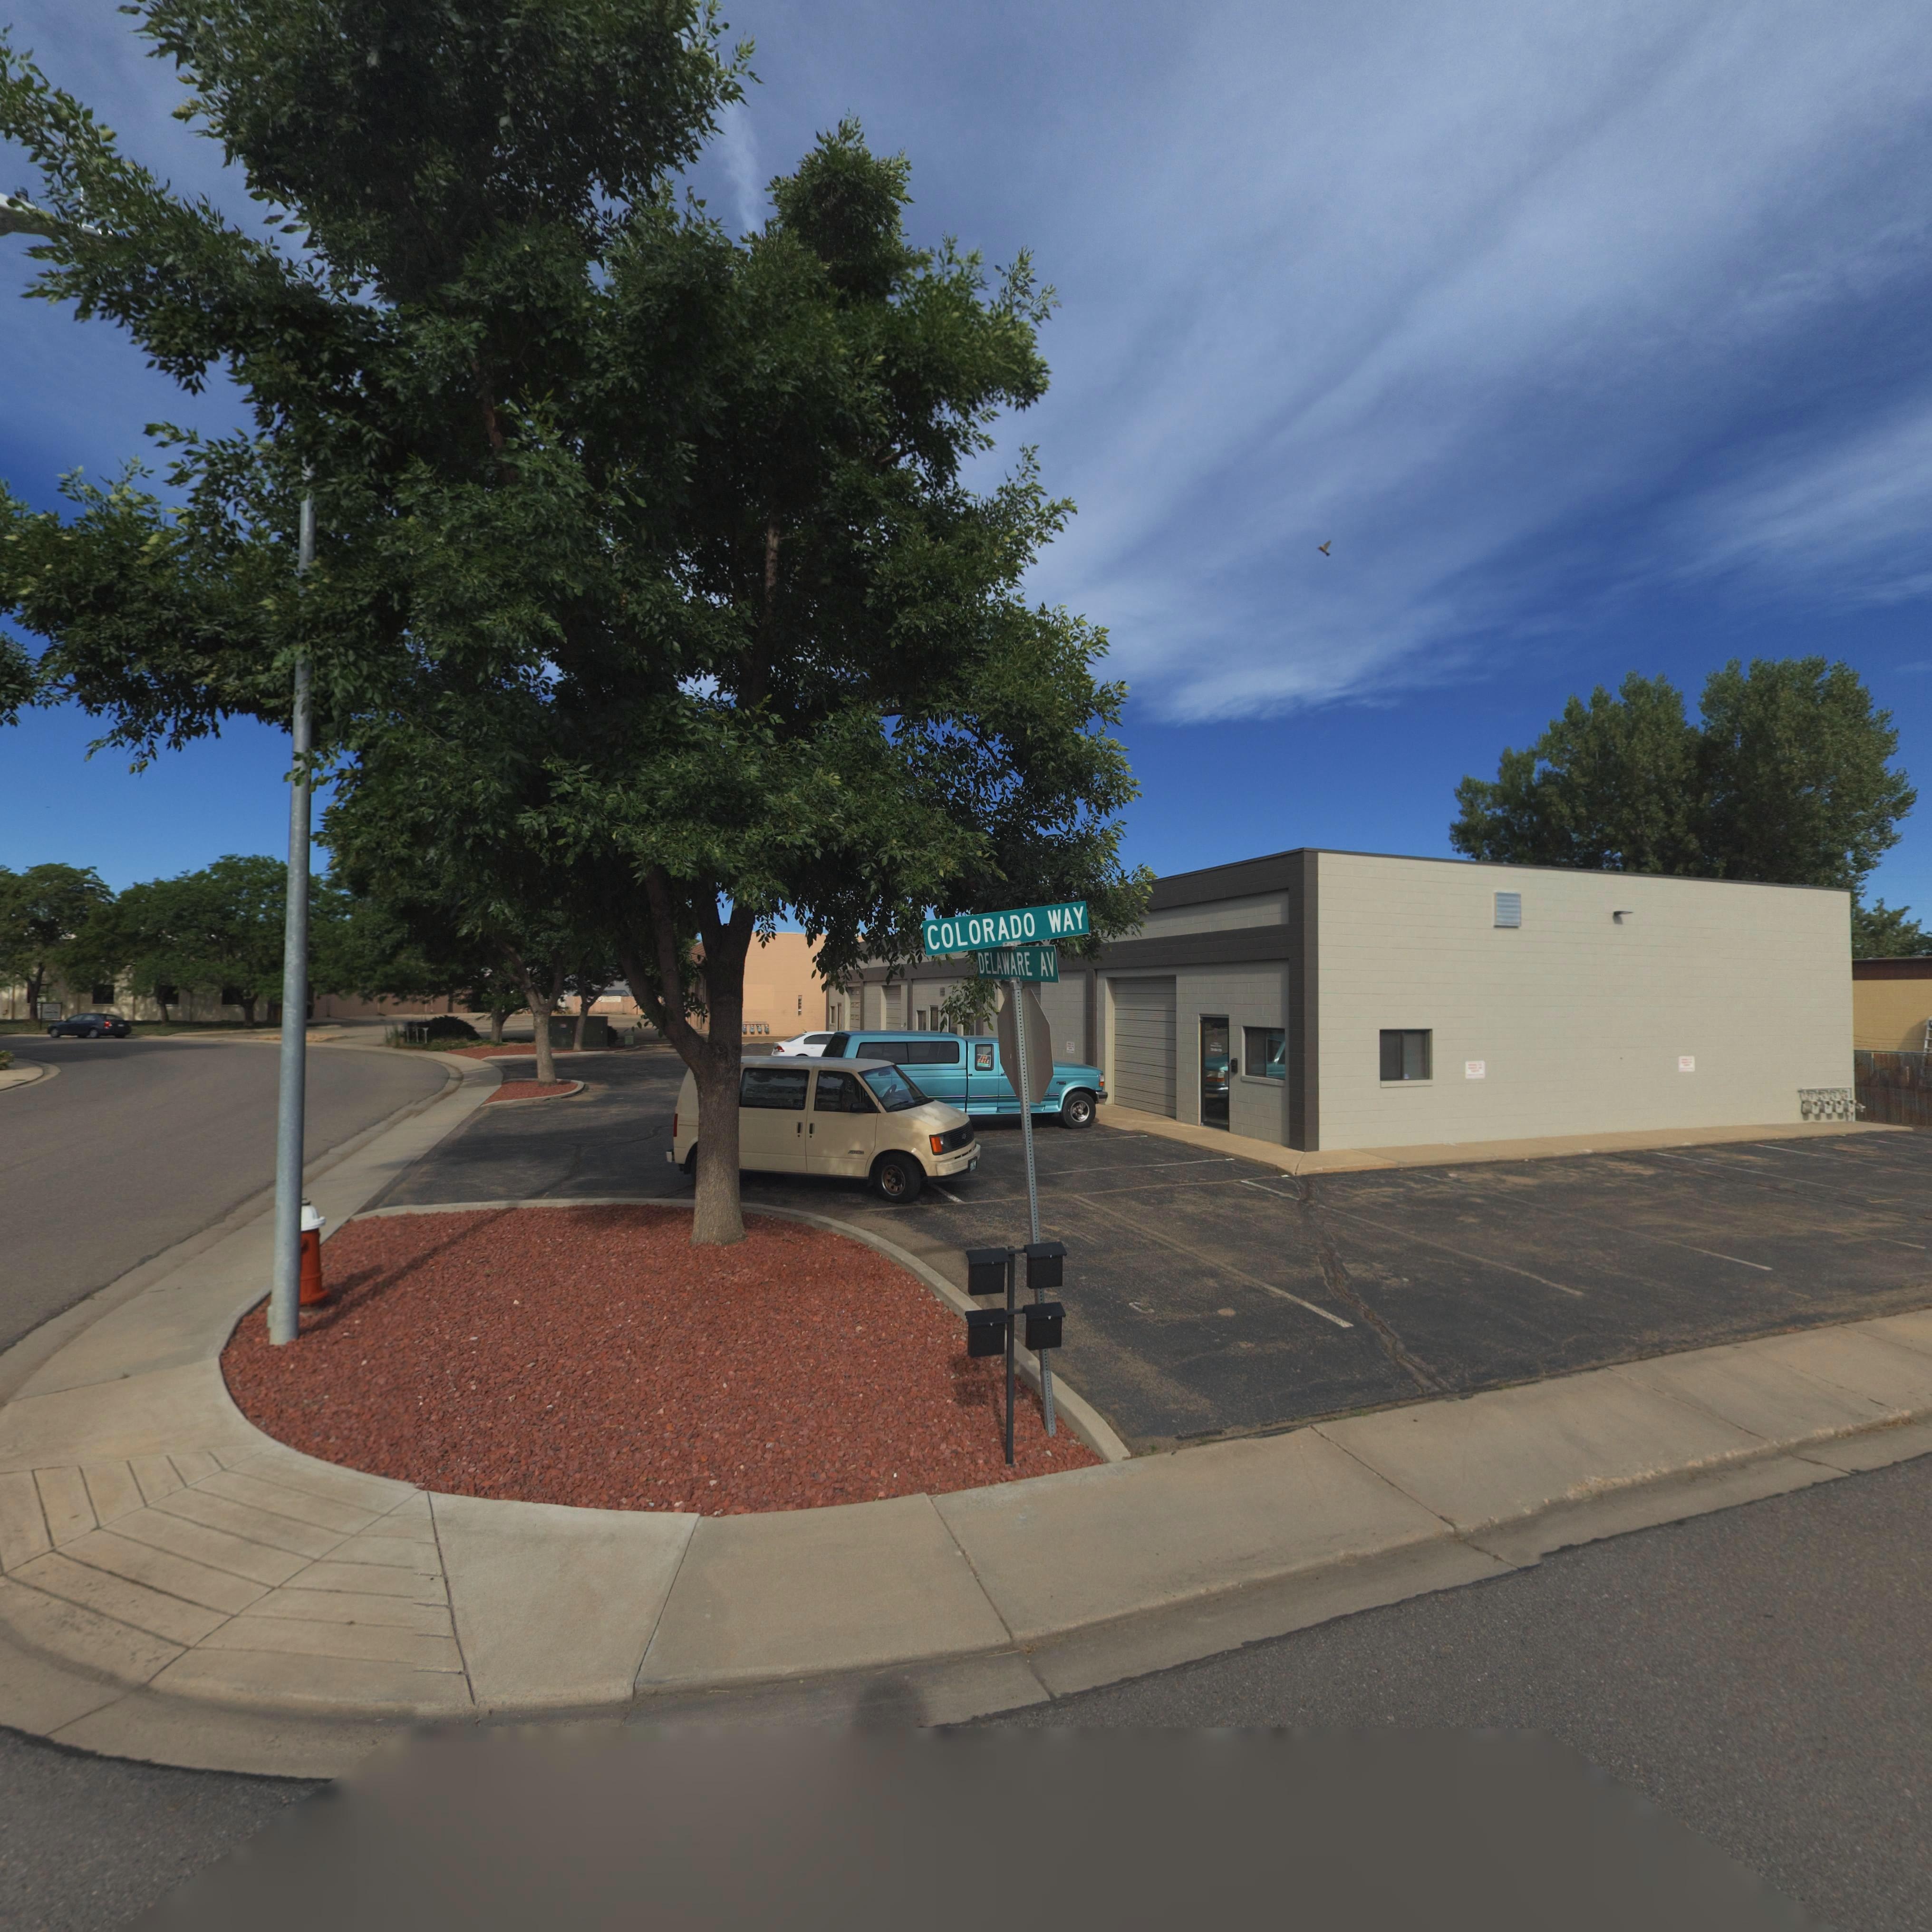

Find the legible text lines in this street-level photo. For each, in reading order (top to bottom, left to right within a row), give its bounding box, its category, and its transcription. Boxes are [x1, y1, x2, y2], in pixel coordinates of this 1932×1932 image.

[926, 906, 1086, 950] StreetName: COLORADO WAY
[976, 950, 1055, 977] StreetName: DELAWARE AV